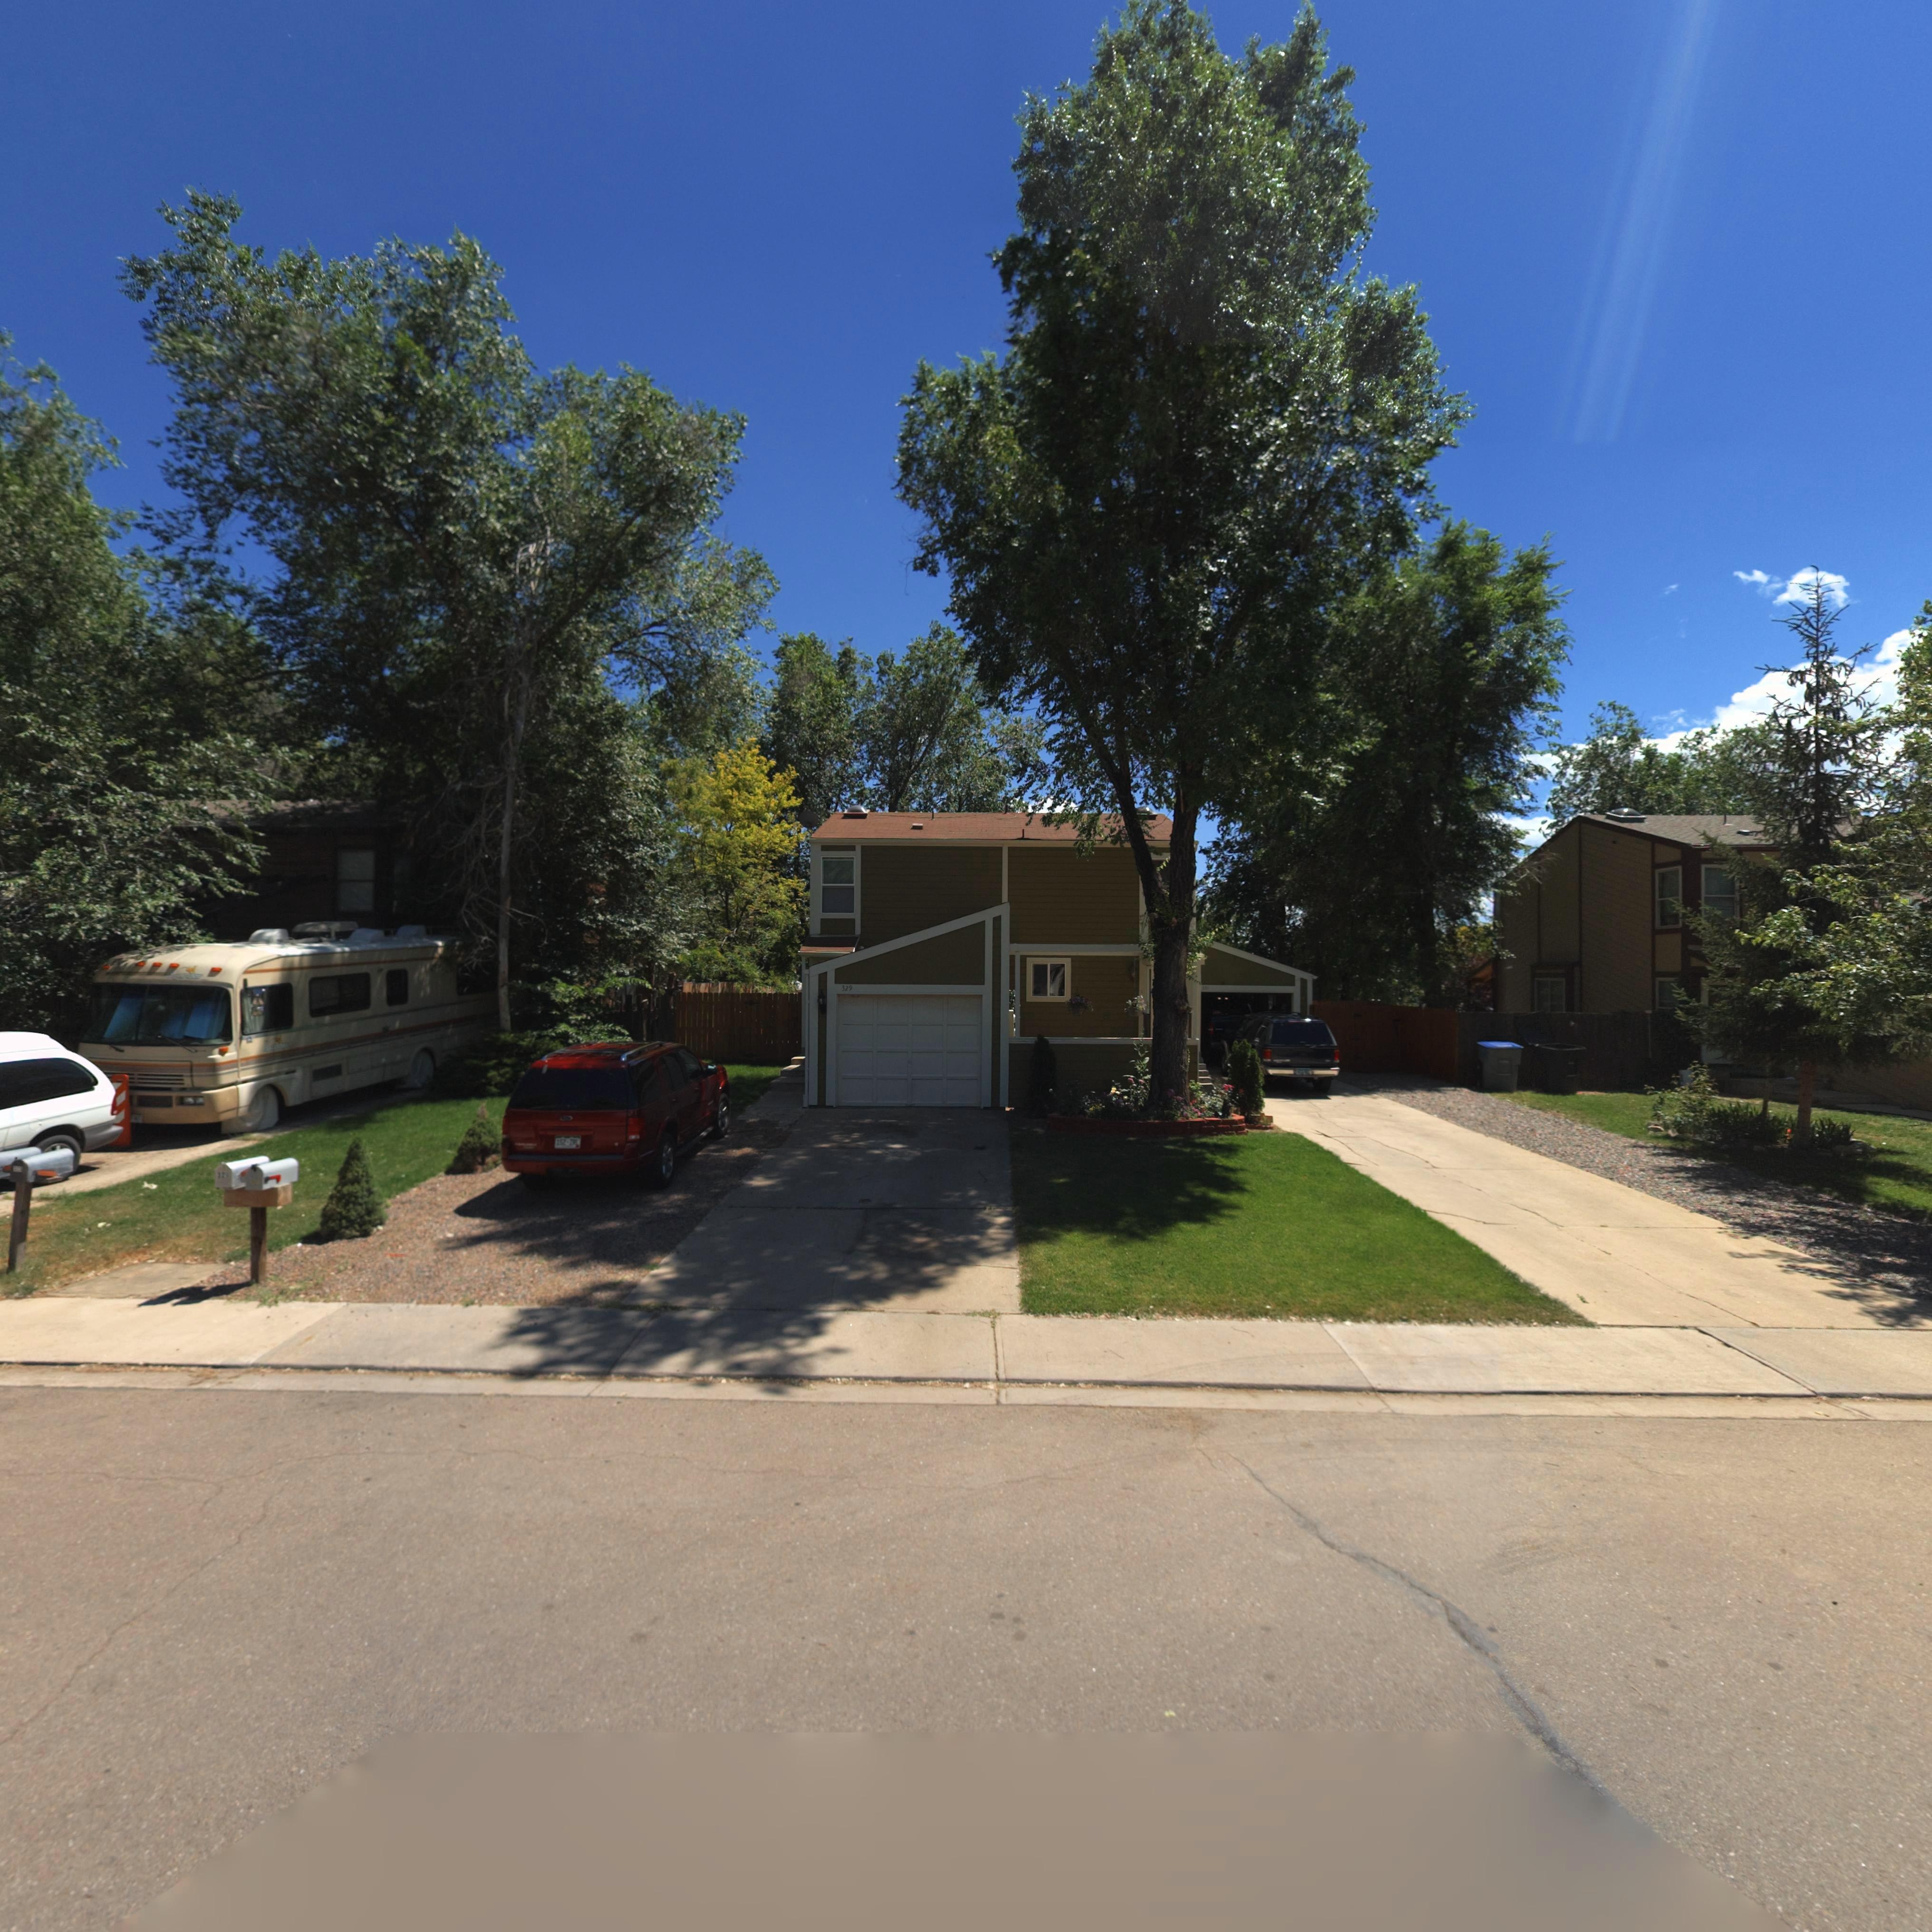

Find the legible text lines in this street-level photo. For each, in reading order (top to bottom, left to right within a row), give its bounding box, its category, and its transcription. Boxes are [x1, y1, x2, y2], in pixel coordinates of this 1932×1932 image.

[840, 985, 853, 992] StreetNumber: 329
[1201, 985, 1209, 990] StreetNumber: 331
[216, 1171, 229, 1179] StreetNumber: *2*